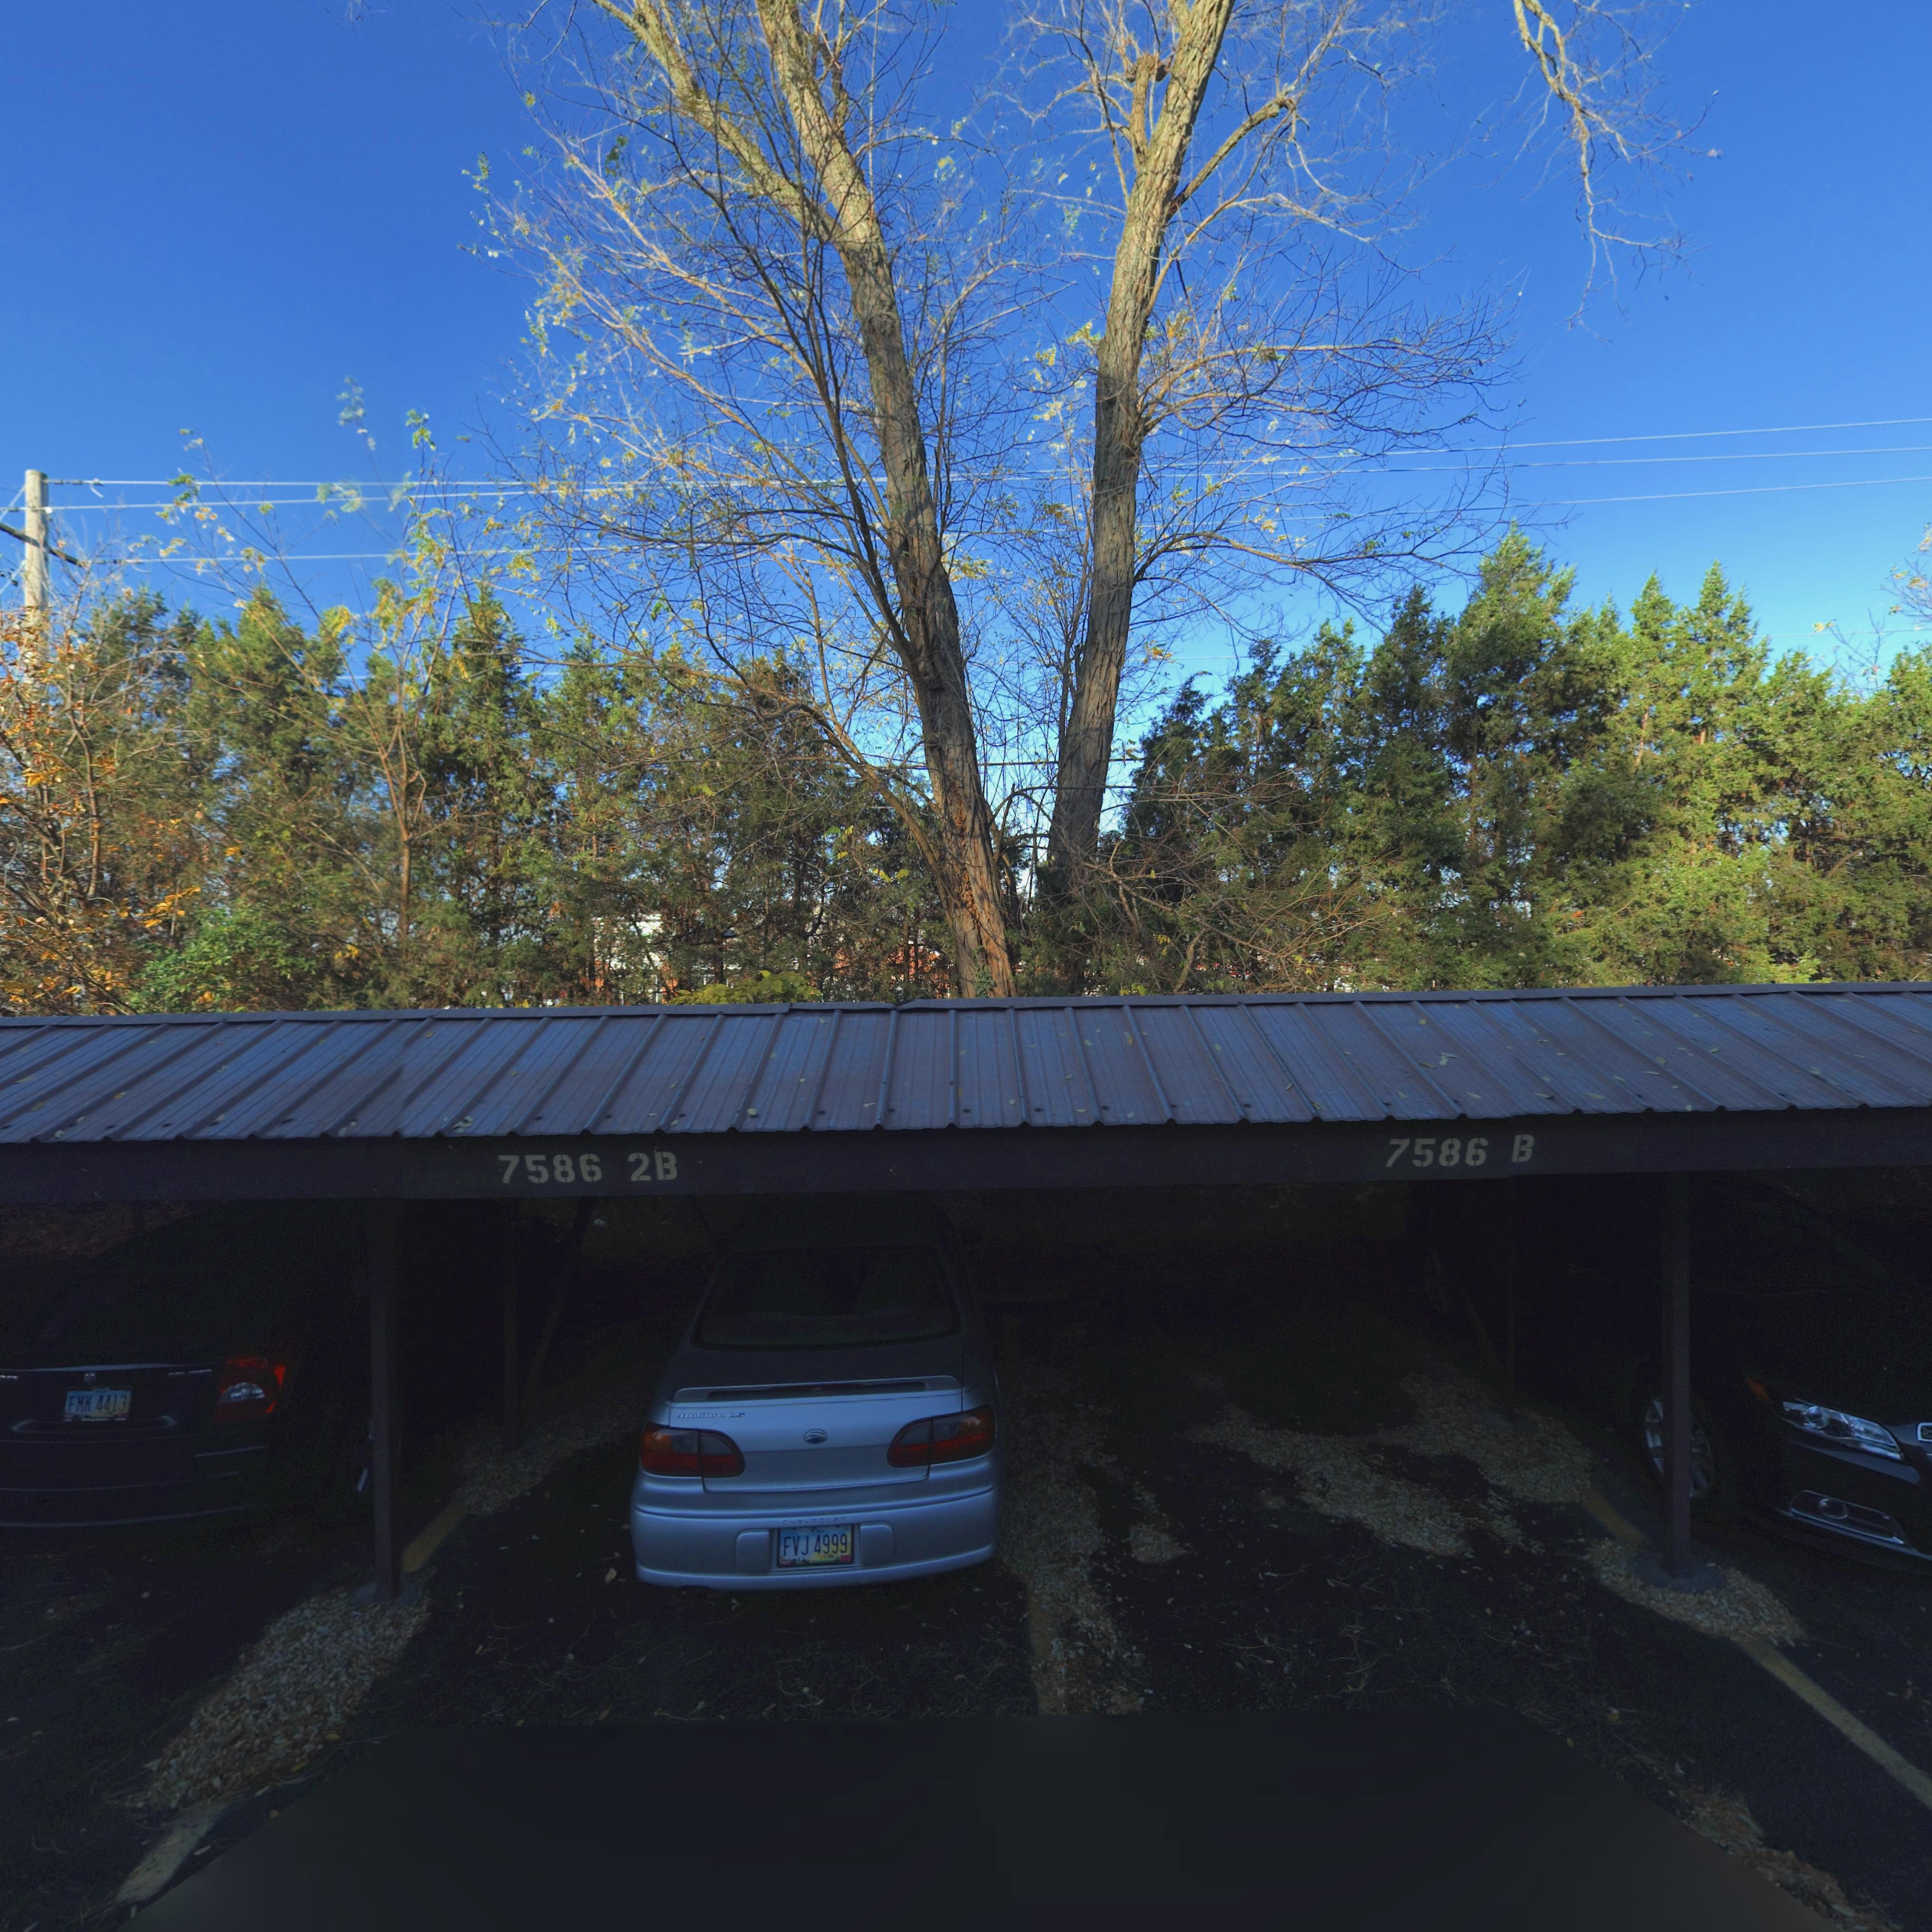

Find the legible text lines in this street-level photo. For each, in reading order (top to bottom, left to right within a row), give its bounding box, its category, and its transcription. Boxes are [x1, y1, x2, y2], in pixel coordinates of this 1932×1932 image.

[1385, 1137, 1489, 1168] StreetNumber: 7586
[497, 1153, 603, 1184] StreetNumber: 7586